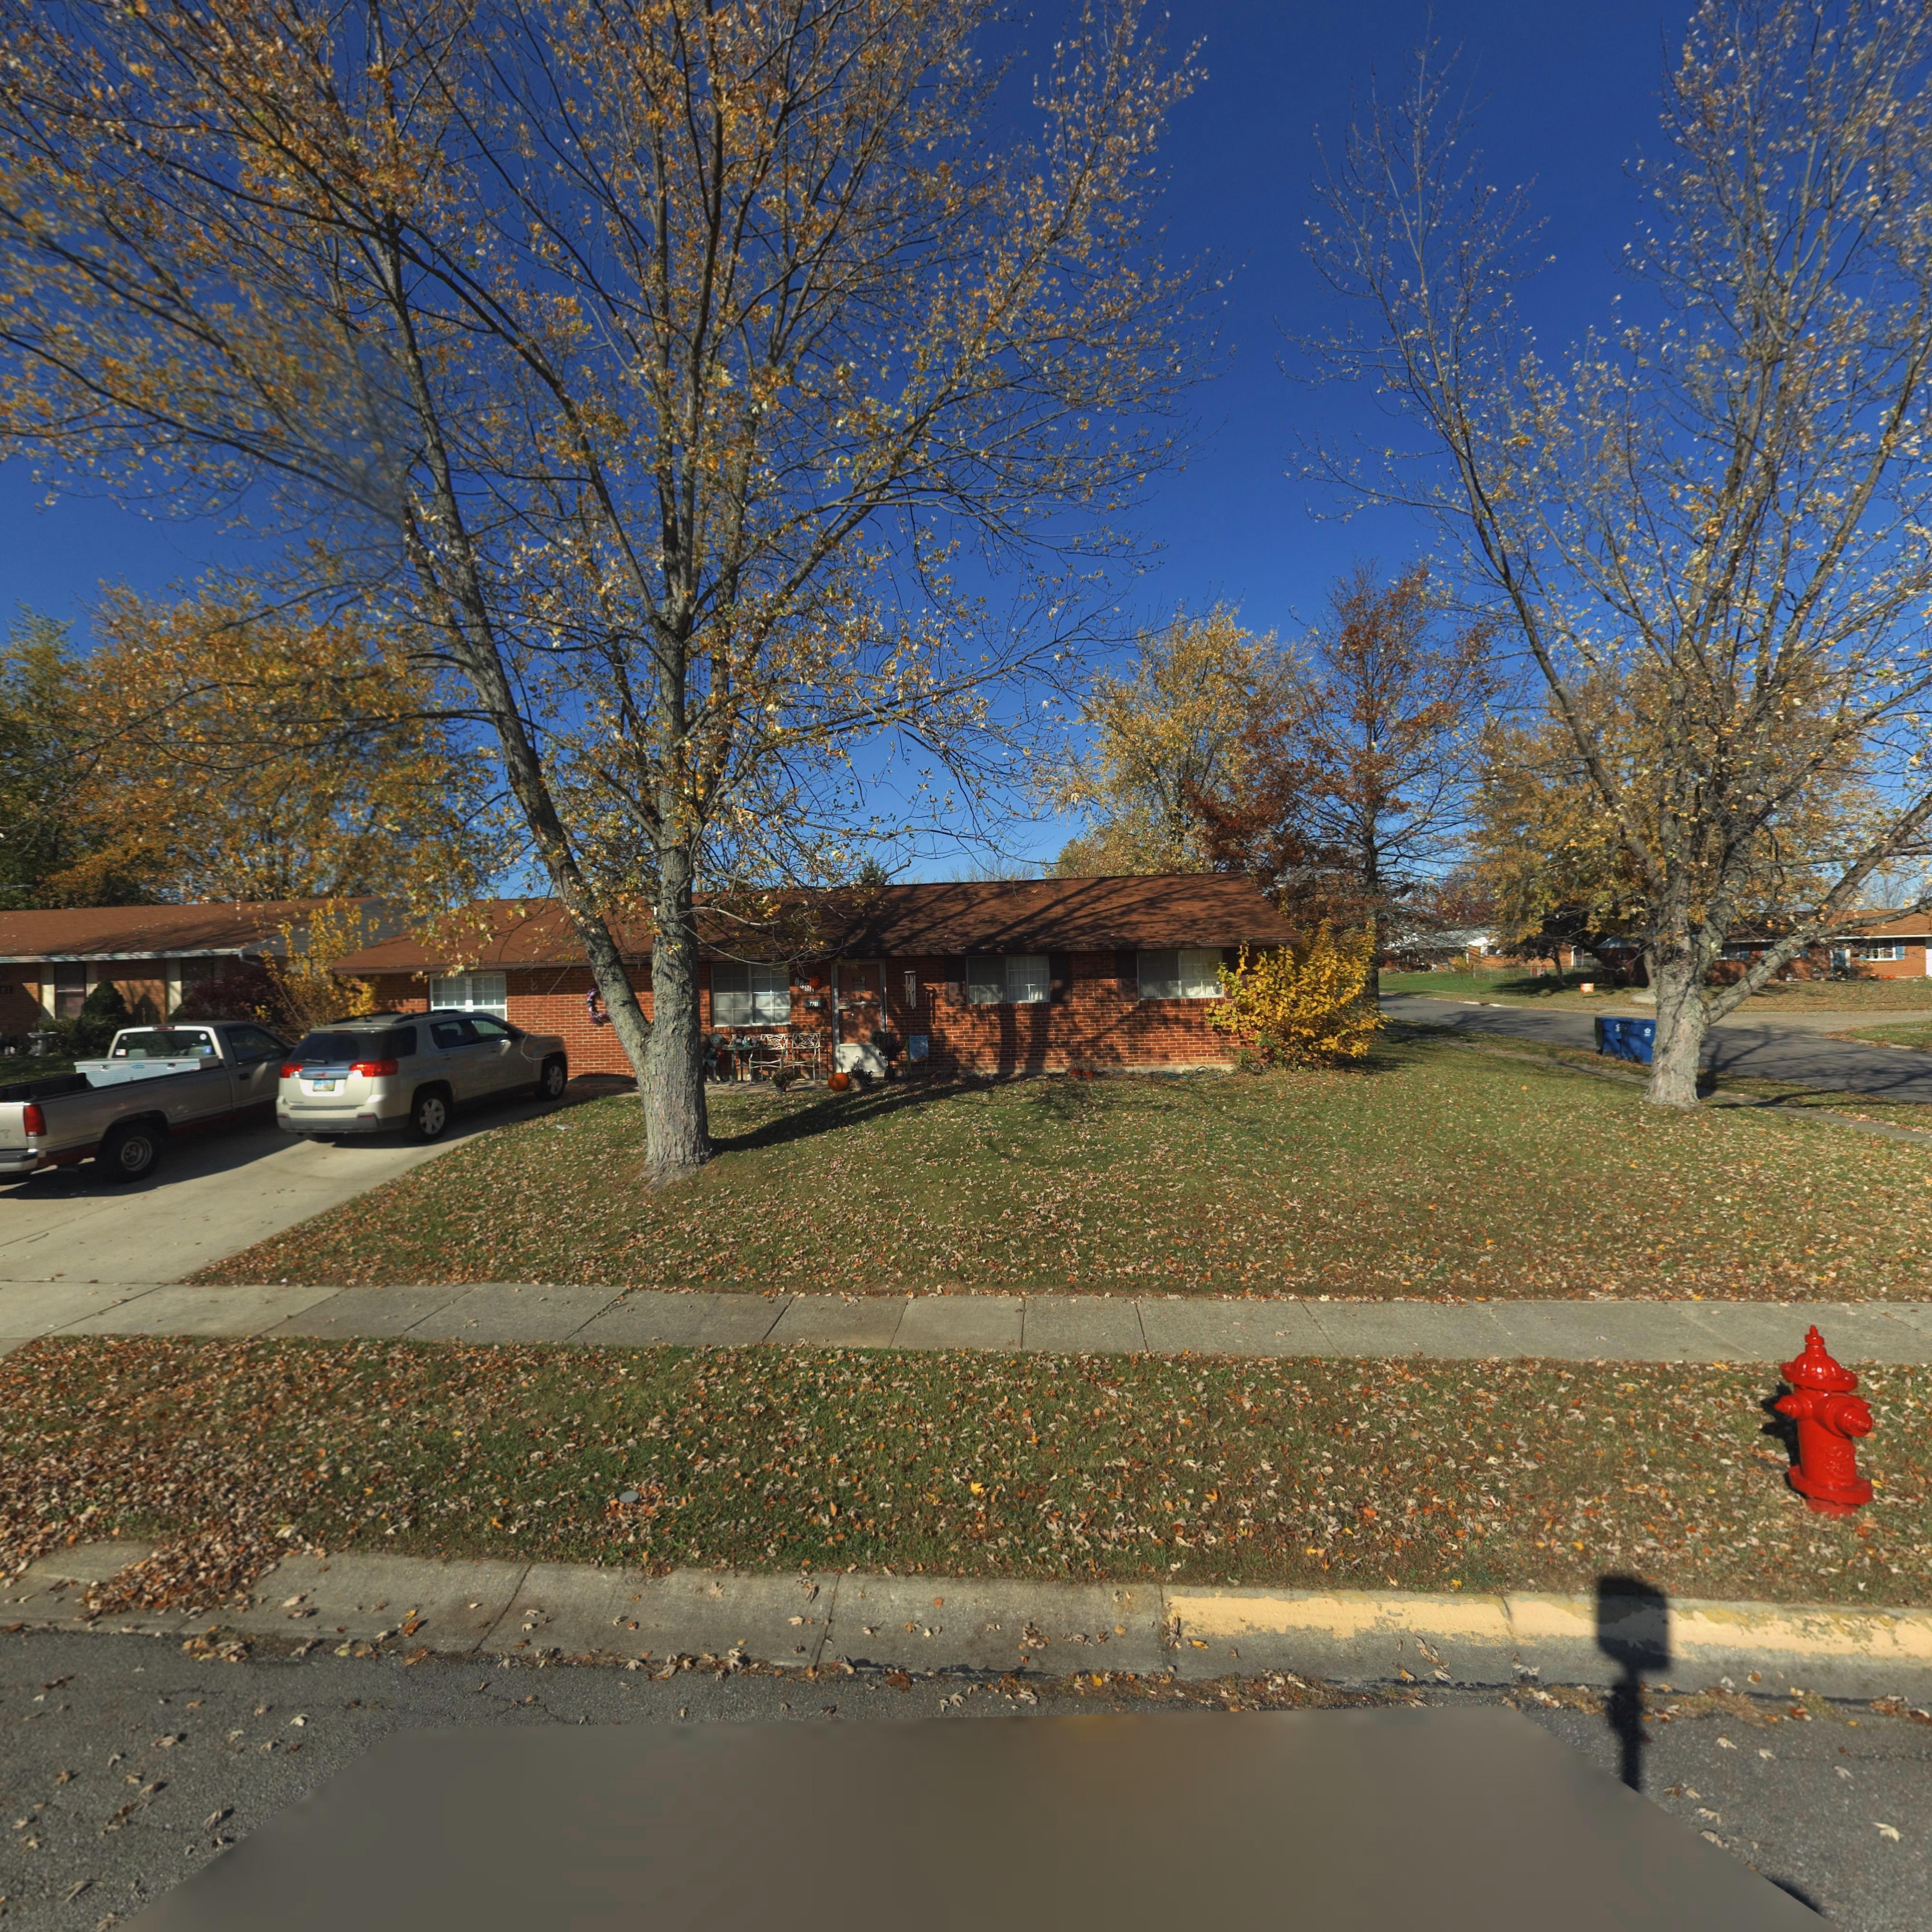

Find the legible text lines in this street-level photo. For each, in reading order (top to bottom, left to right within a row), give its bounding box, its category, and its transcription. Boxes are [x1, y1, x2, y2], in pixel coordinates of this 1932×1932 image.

[794, 978, 814, 995] StreetNumber: 7781
[808, 1000, 820, 1008] StreetNumber: 77**